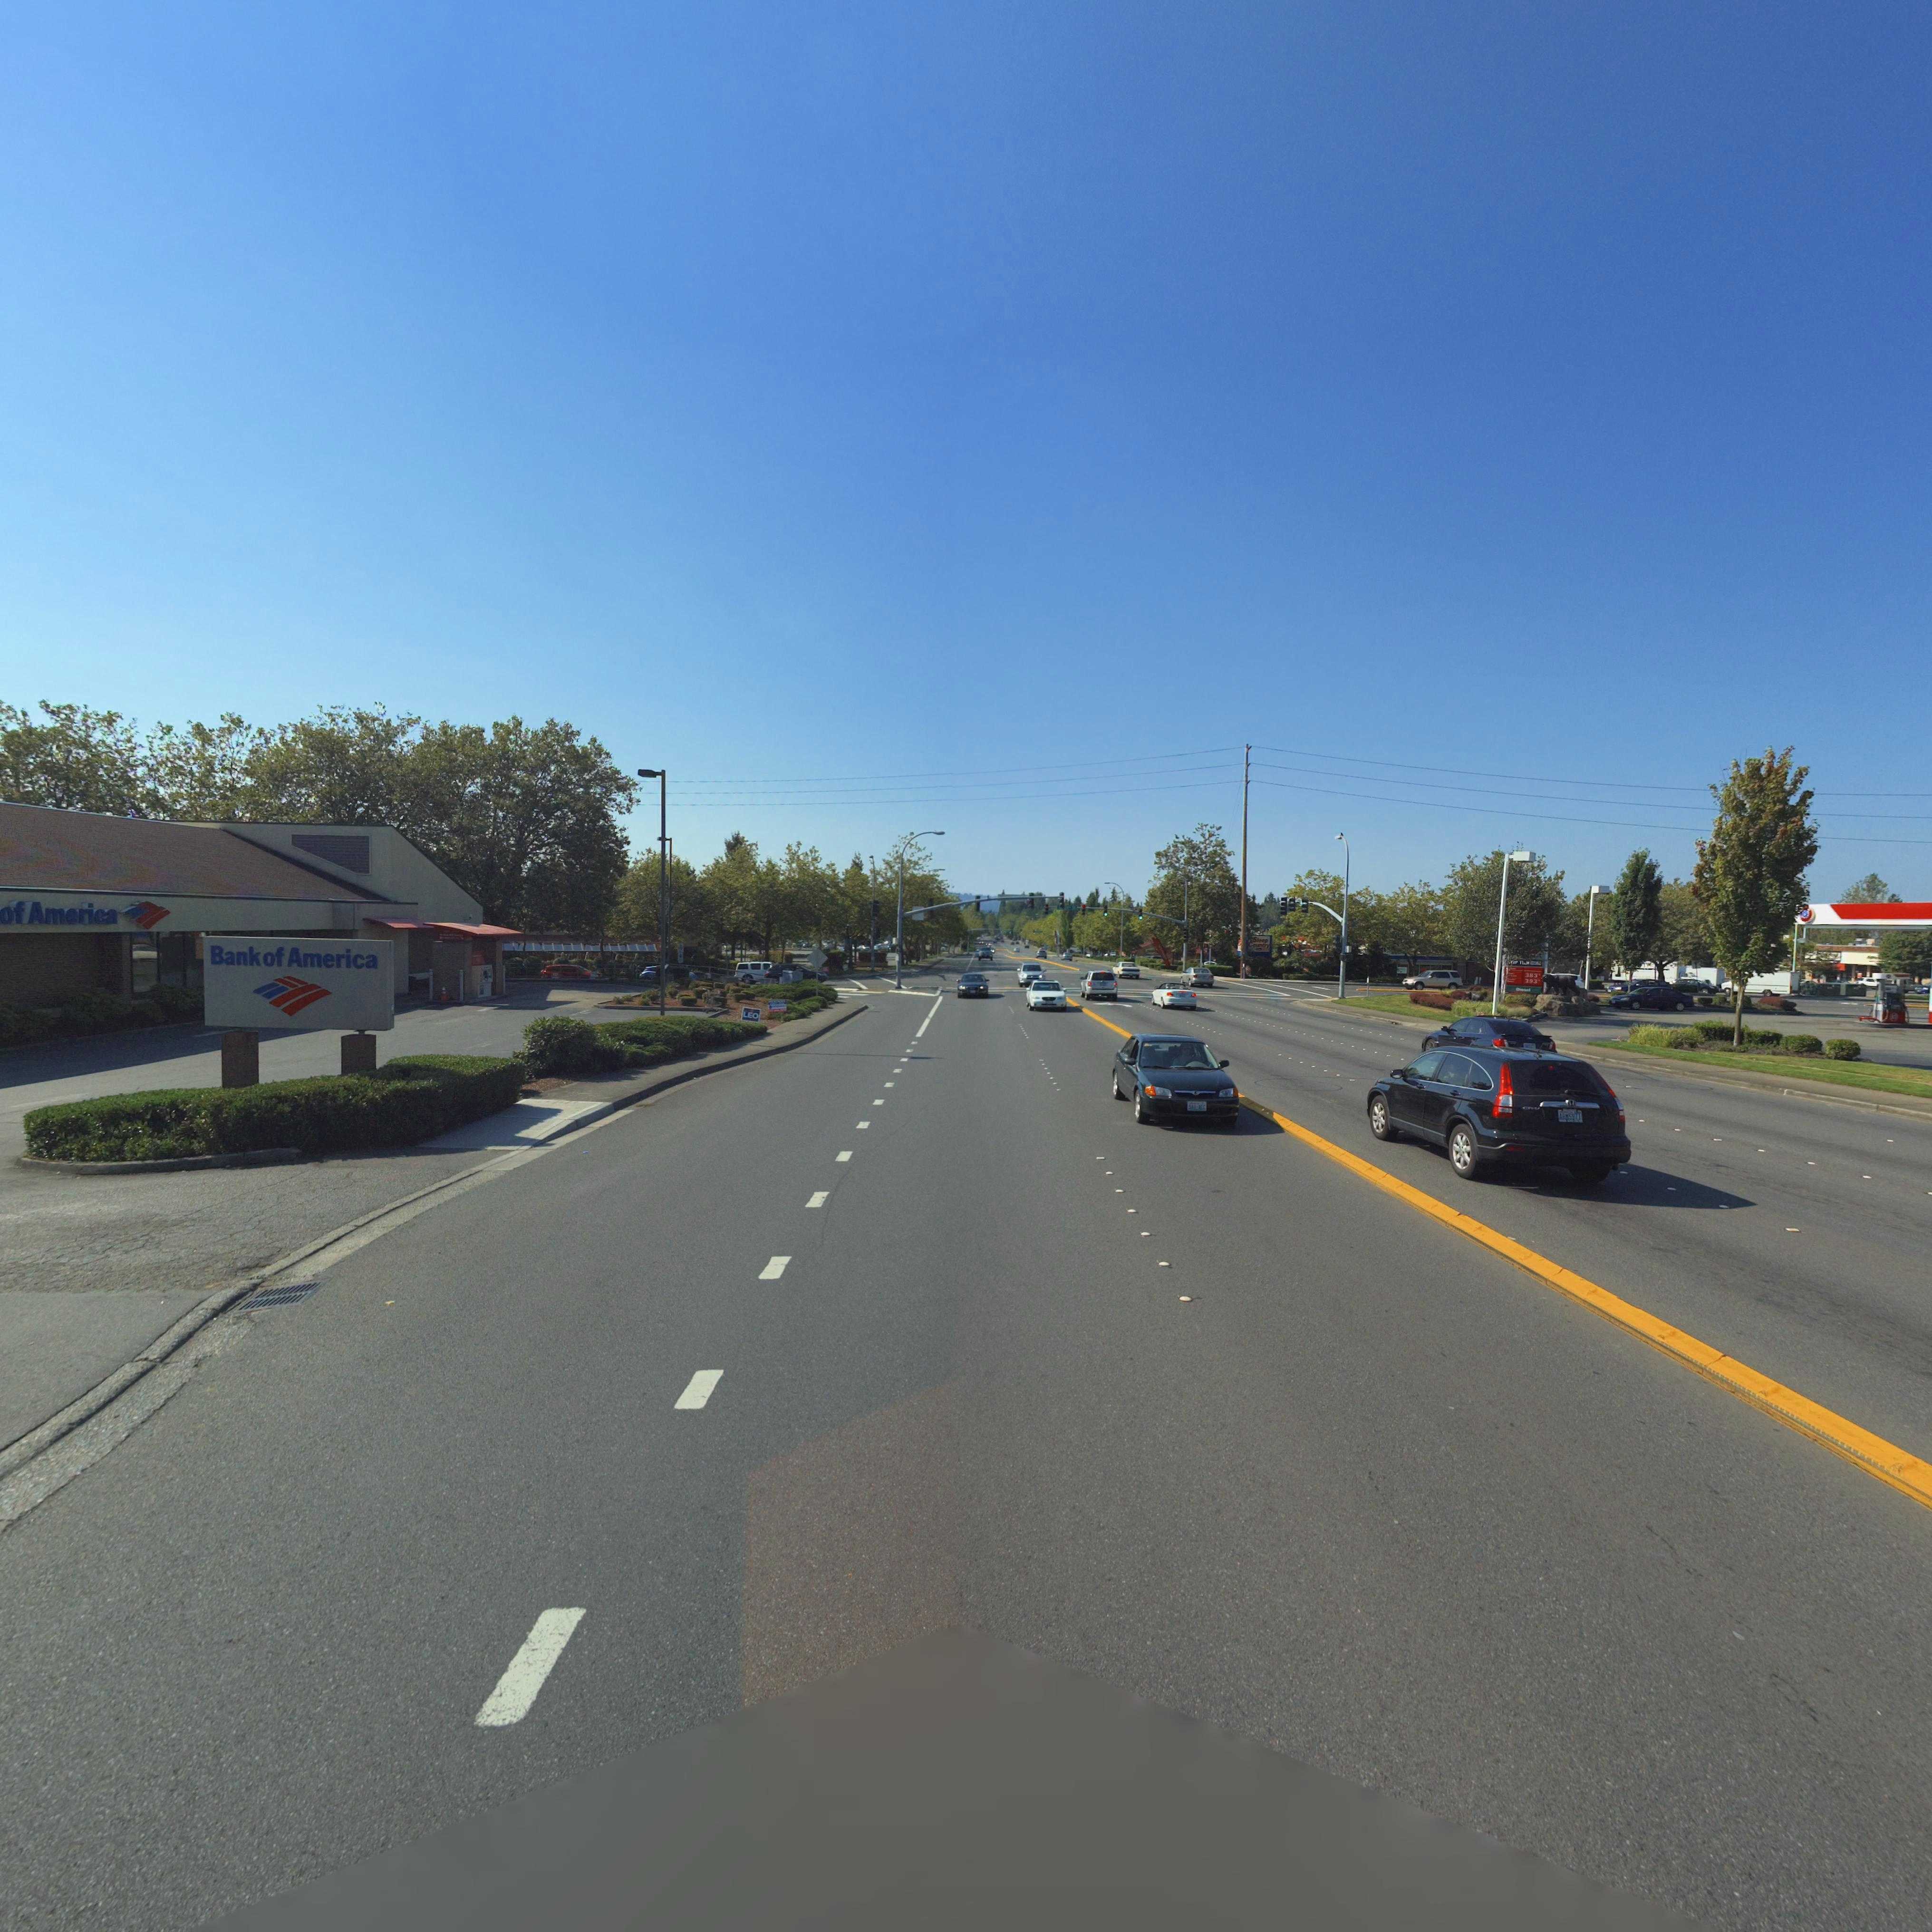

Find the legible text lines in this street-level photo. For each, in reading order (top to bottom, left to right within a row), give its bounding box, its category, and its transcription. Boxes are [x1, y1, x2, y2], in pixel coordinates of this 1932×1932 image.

[0, 900, 118, 925] BusinessName: of America
[210, 945, 378, 969] BusinessName: Bank of America
[1248, 941, 1270, 948] BusinessName: Country
[1252, 936, 1268, 944] BusinessName: Sleep